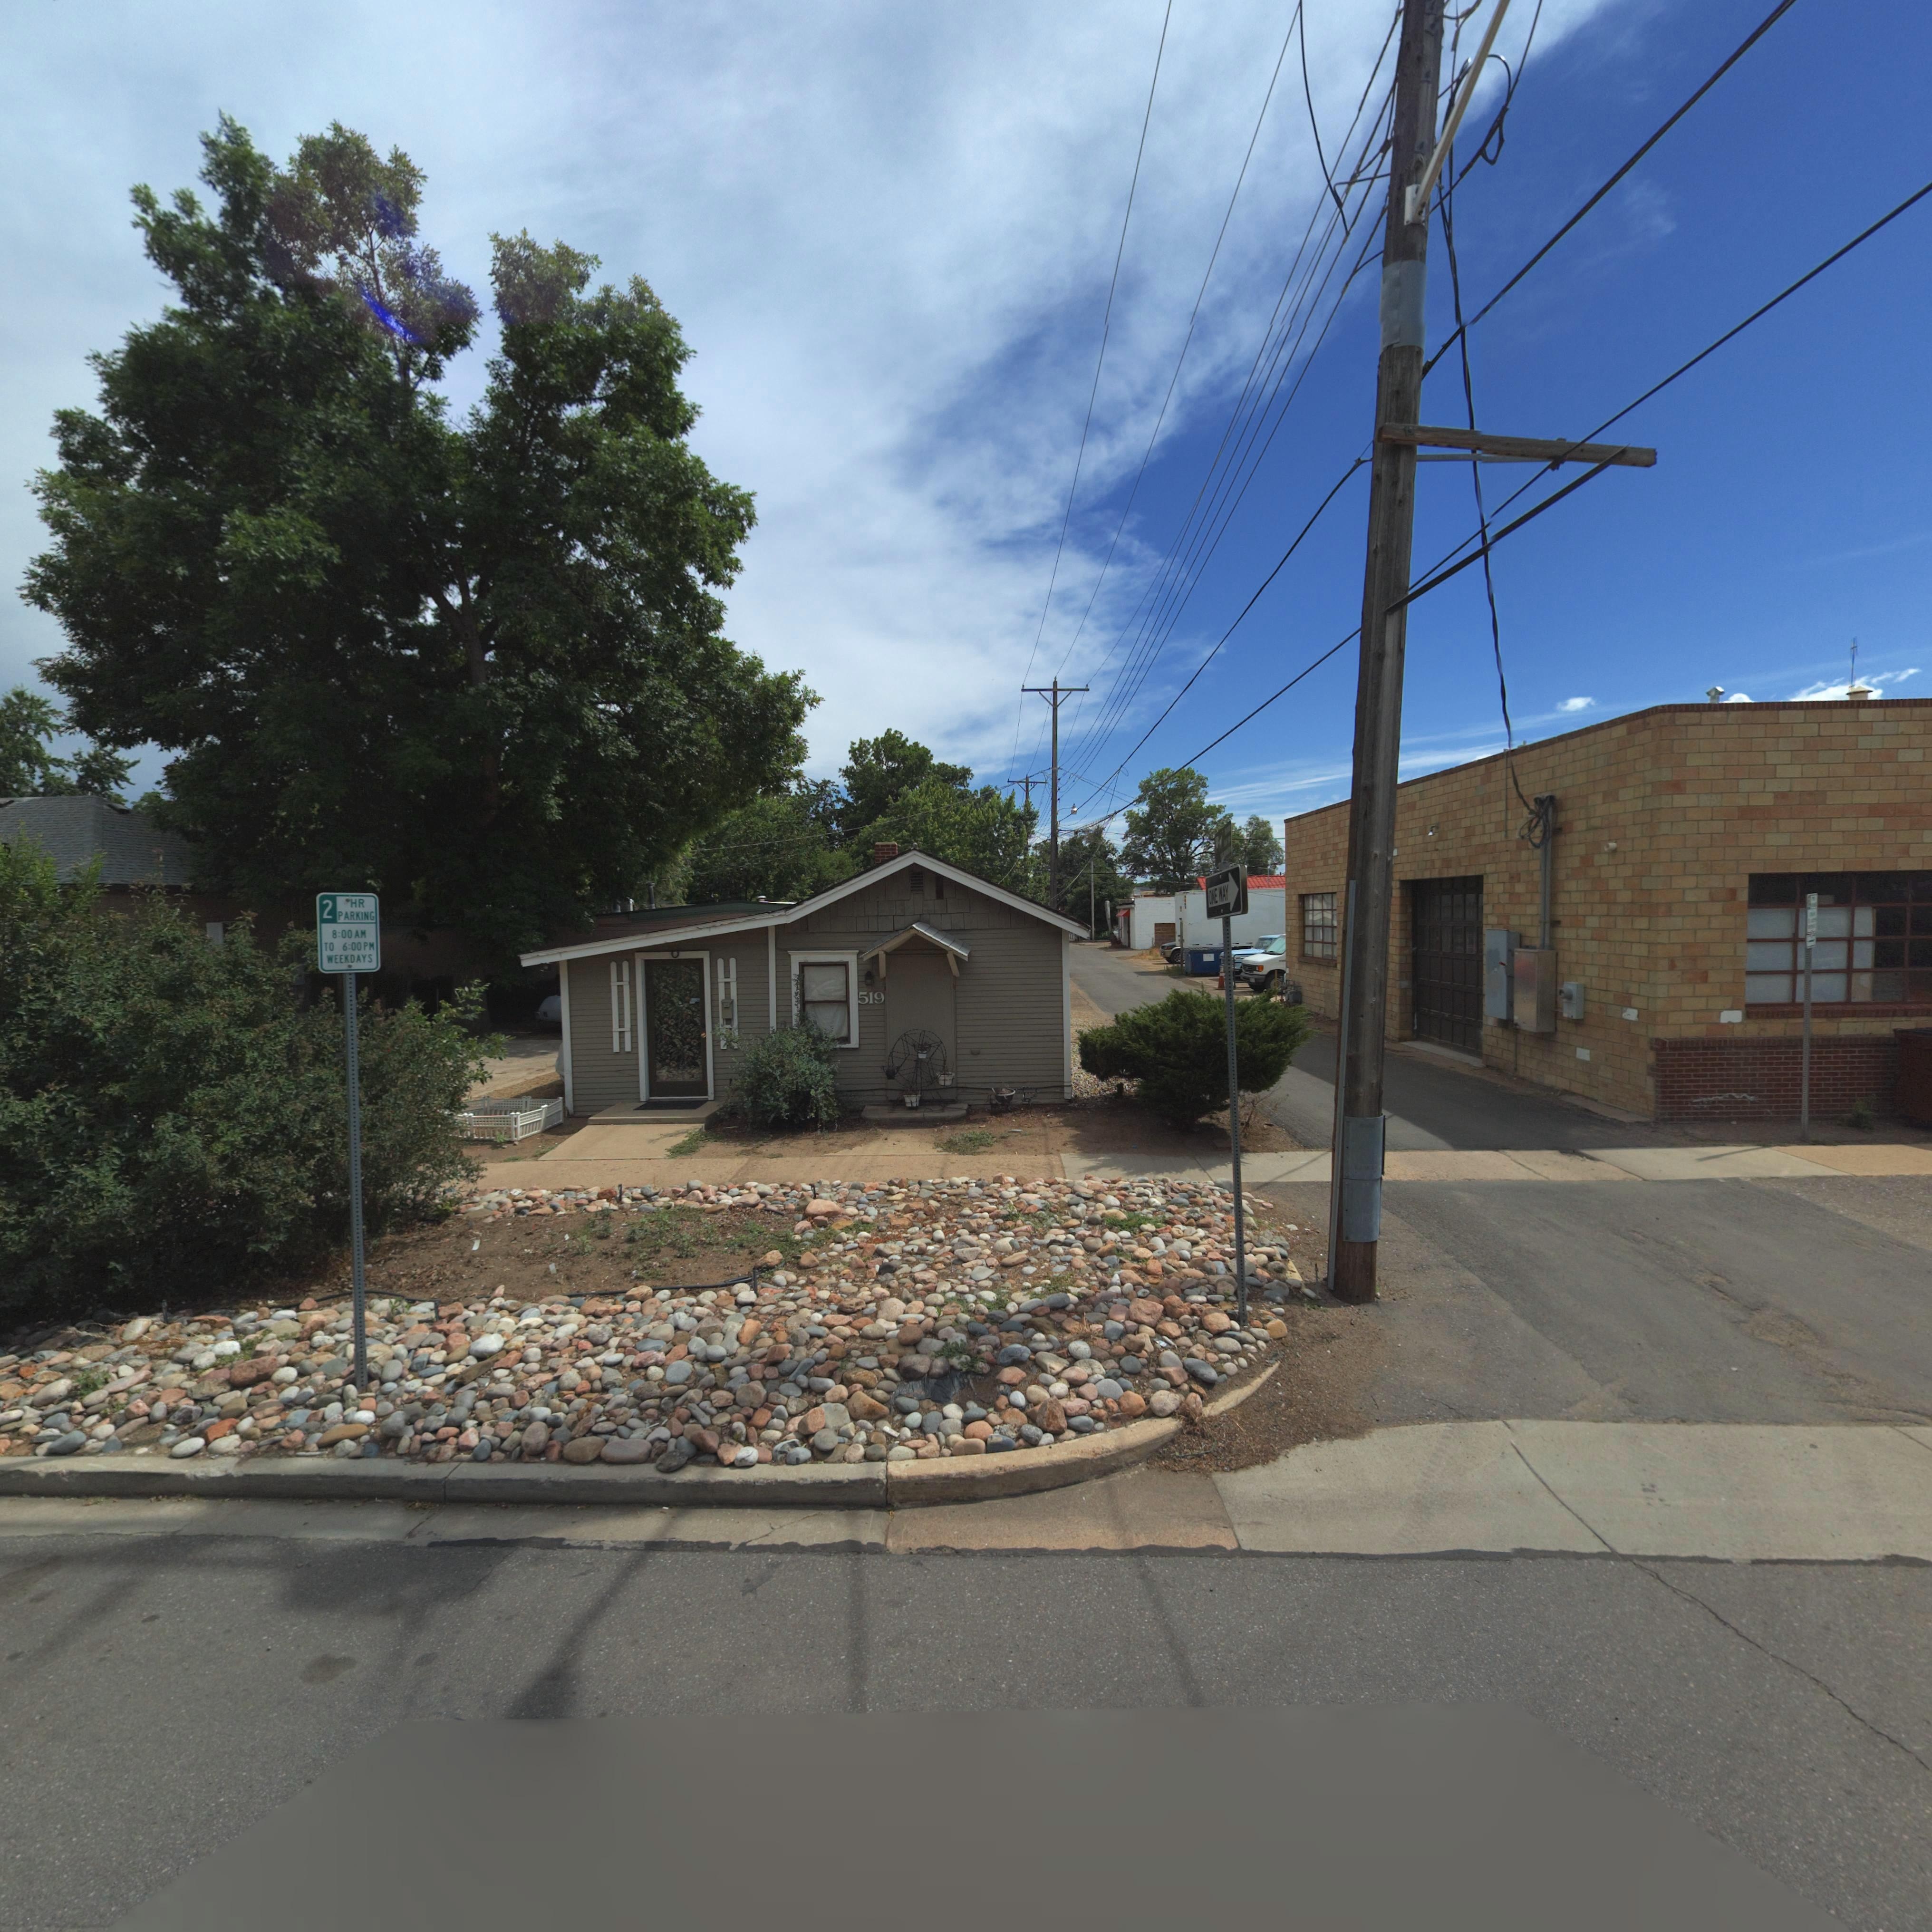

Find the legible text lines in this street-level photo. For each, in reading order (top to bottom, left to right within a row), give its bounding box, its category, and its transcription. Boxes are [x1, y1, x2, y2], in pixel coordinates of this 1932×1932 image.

[858, 991, 885, 1004] StreetNumber: 519